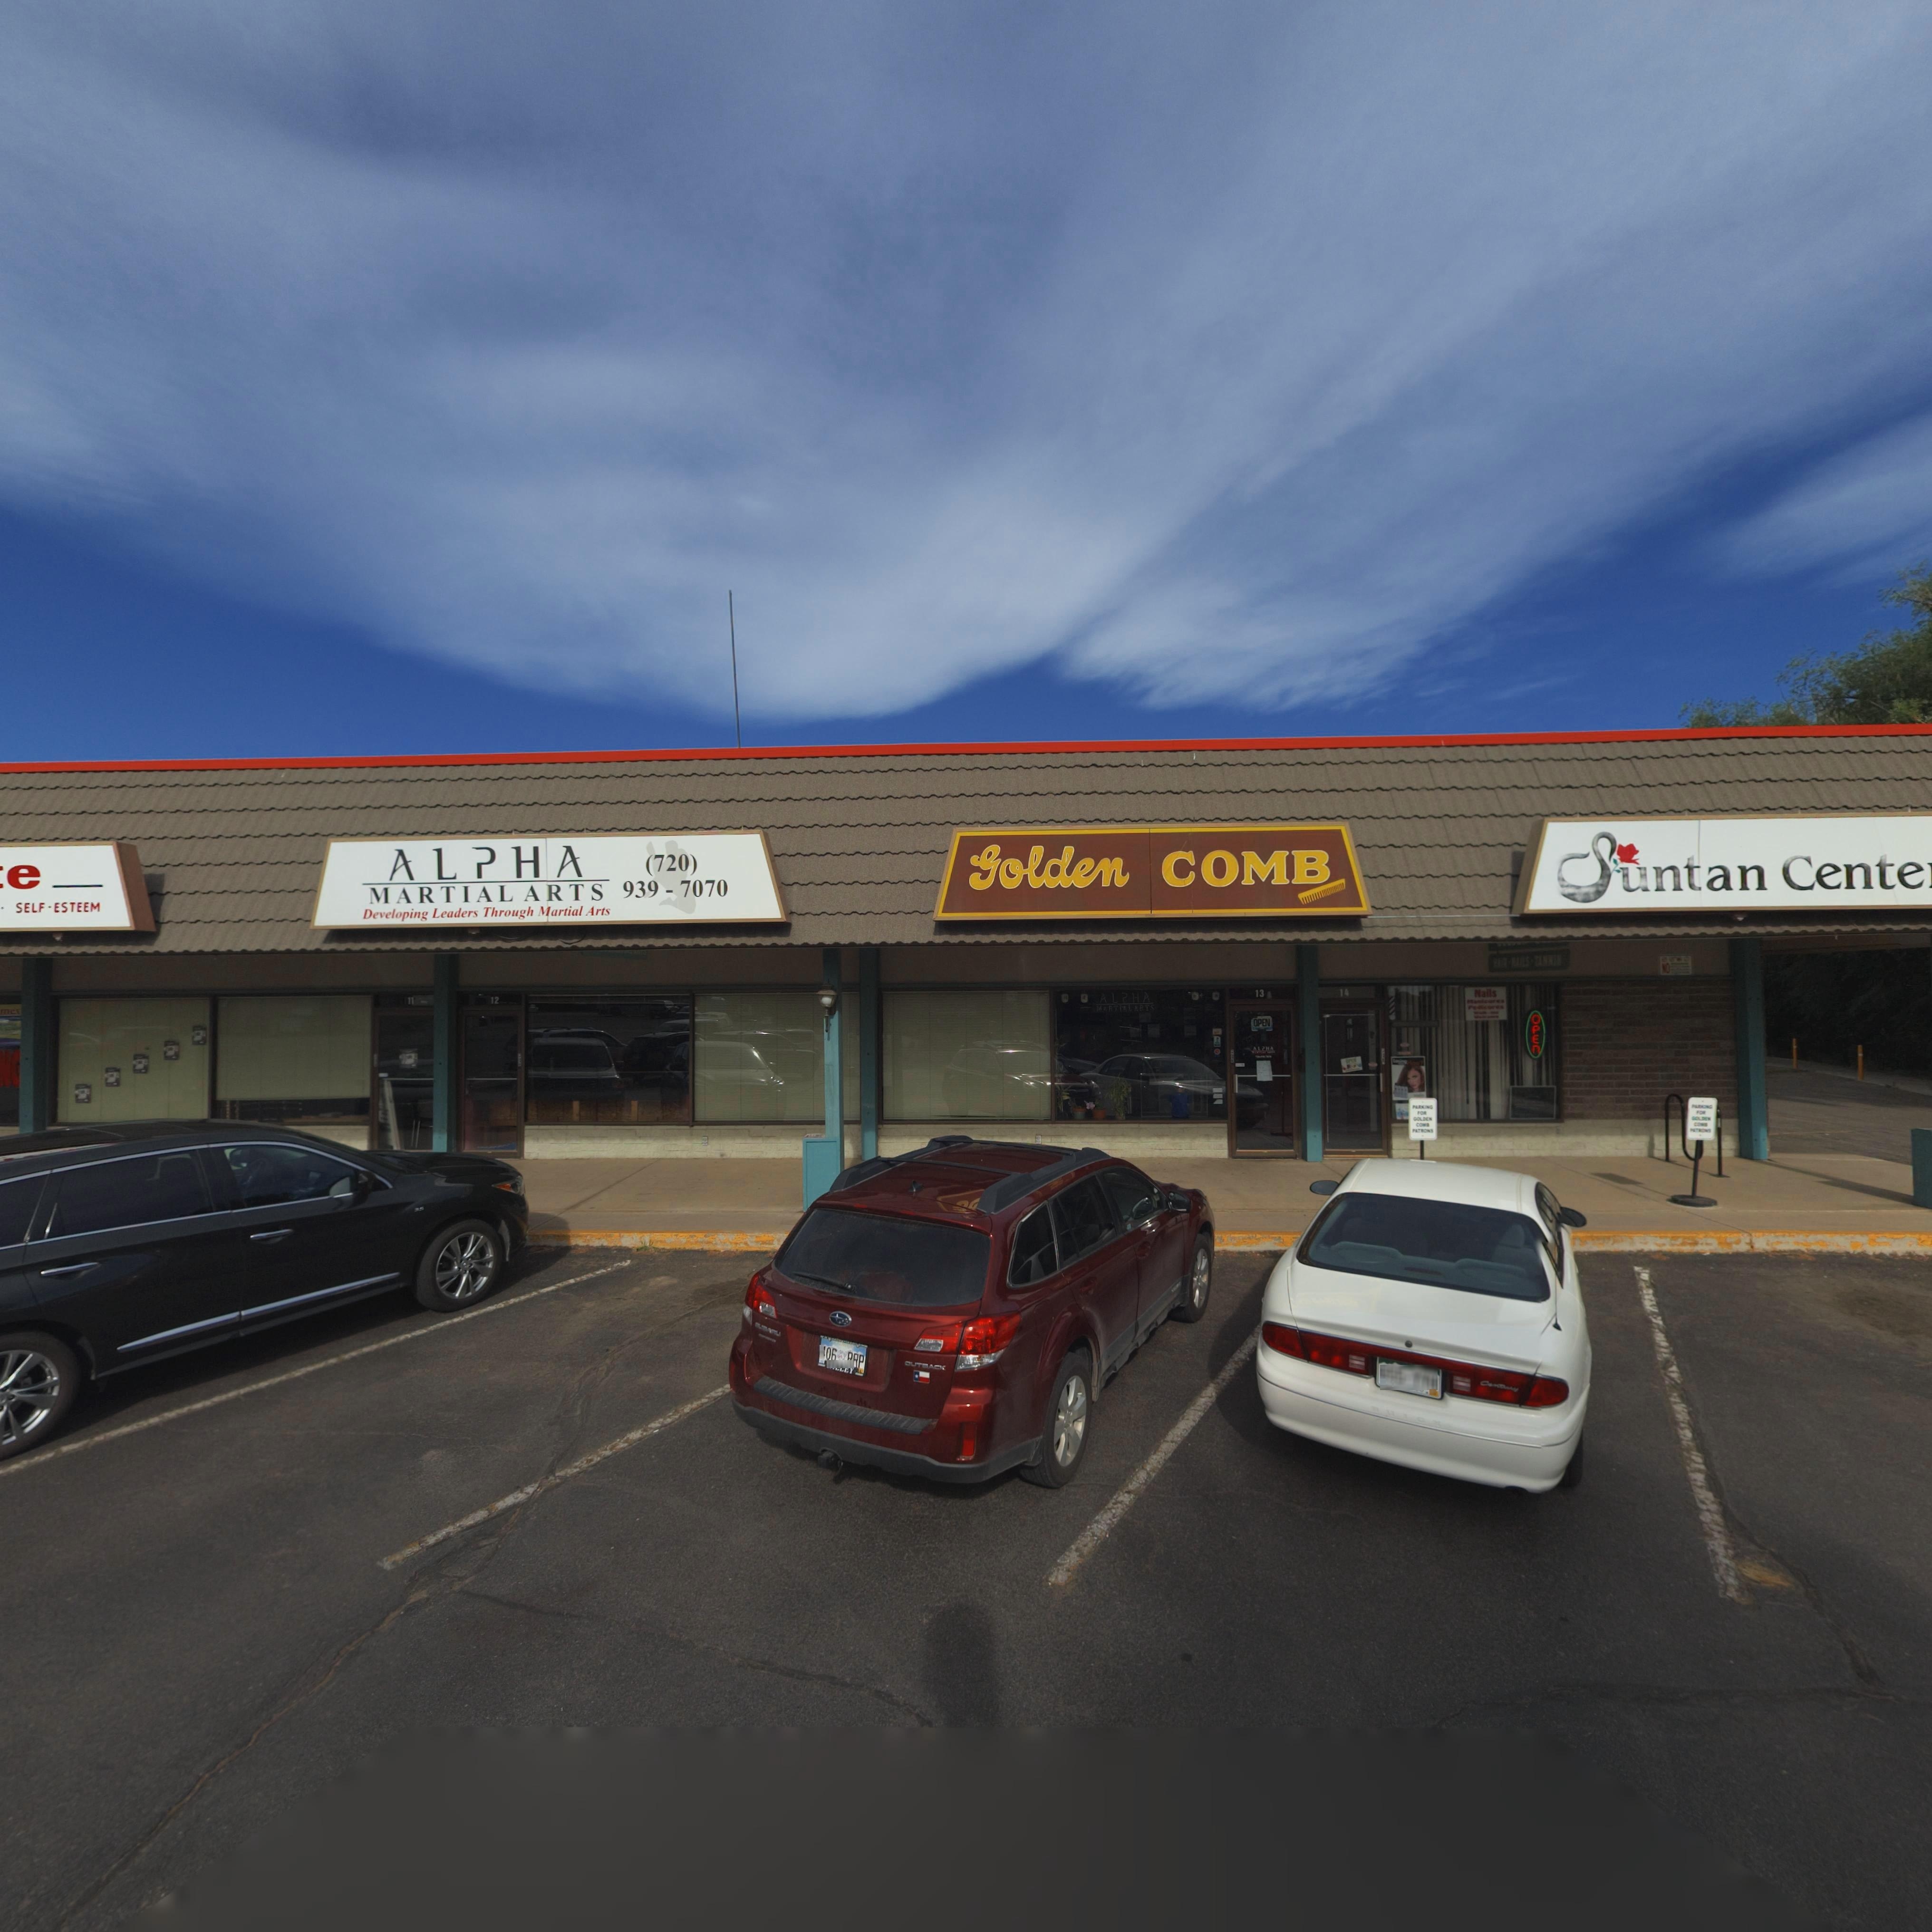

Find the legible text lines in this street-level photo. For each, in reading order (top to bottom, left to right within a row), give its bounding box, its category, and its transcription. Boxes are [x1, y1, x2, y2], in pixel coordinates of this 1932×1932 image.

[387, 843, 584, 880] BusinessName: ALPHA
[967, 843, 1331, 891] BusinessName: Golden COMB
[1552, 829, 1926, 905] BusinessName: Suntan Cente
[367, 881, 604, 905] BusinessName: MARTIAL ARTS
[407, 996, 414, 1005] StreetNumber: 11
[490, 995, 500, 1004] StreetNumber: 12
[1099, 991, 1152, 1004] BusinessName: ALPHA
[1255, 988, 1265, 997] StreetNumber: 13
[1339, 987, 1350, 997] StreetNumber: 14
[1095, 1003, 1154, 1013] BusinessName: MARTIAL ARTS
[1252, 1045, 1274, 1050] BusinessName: ALPHA